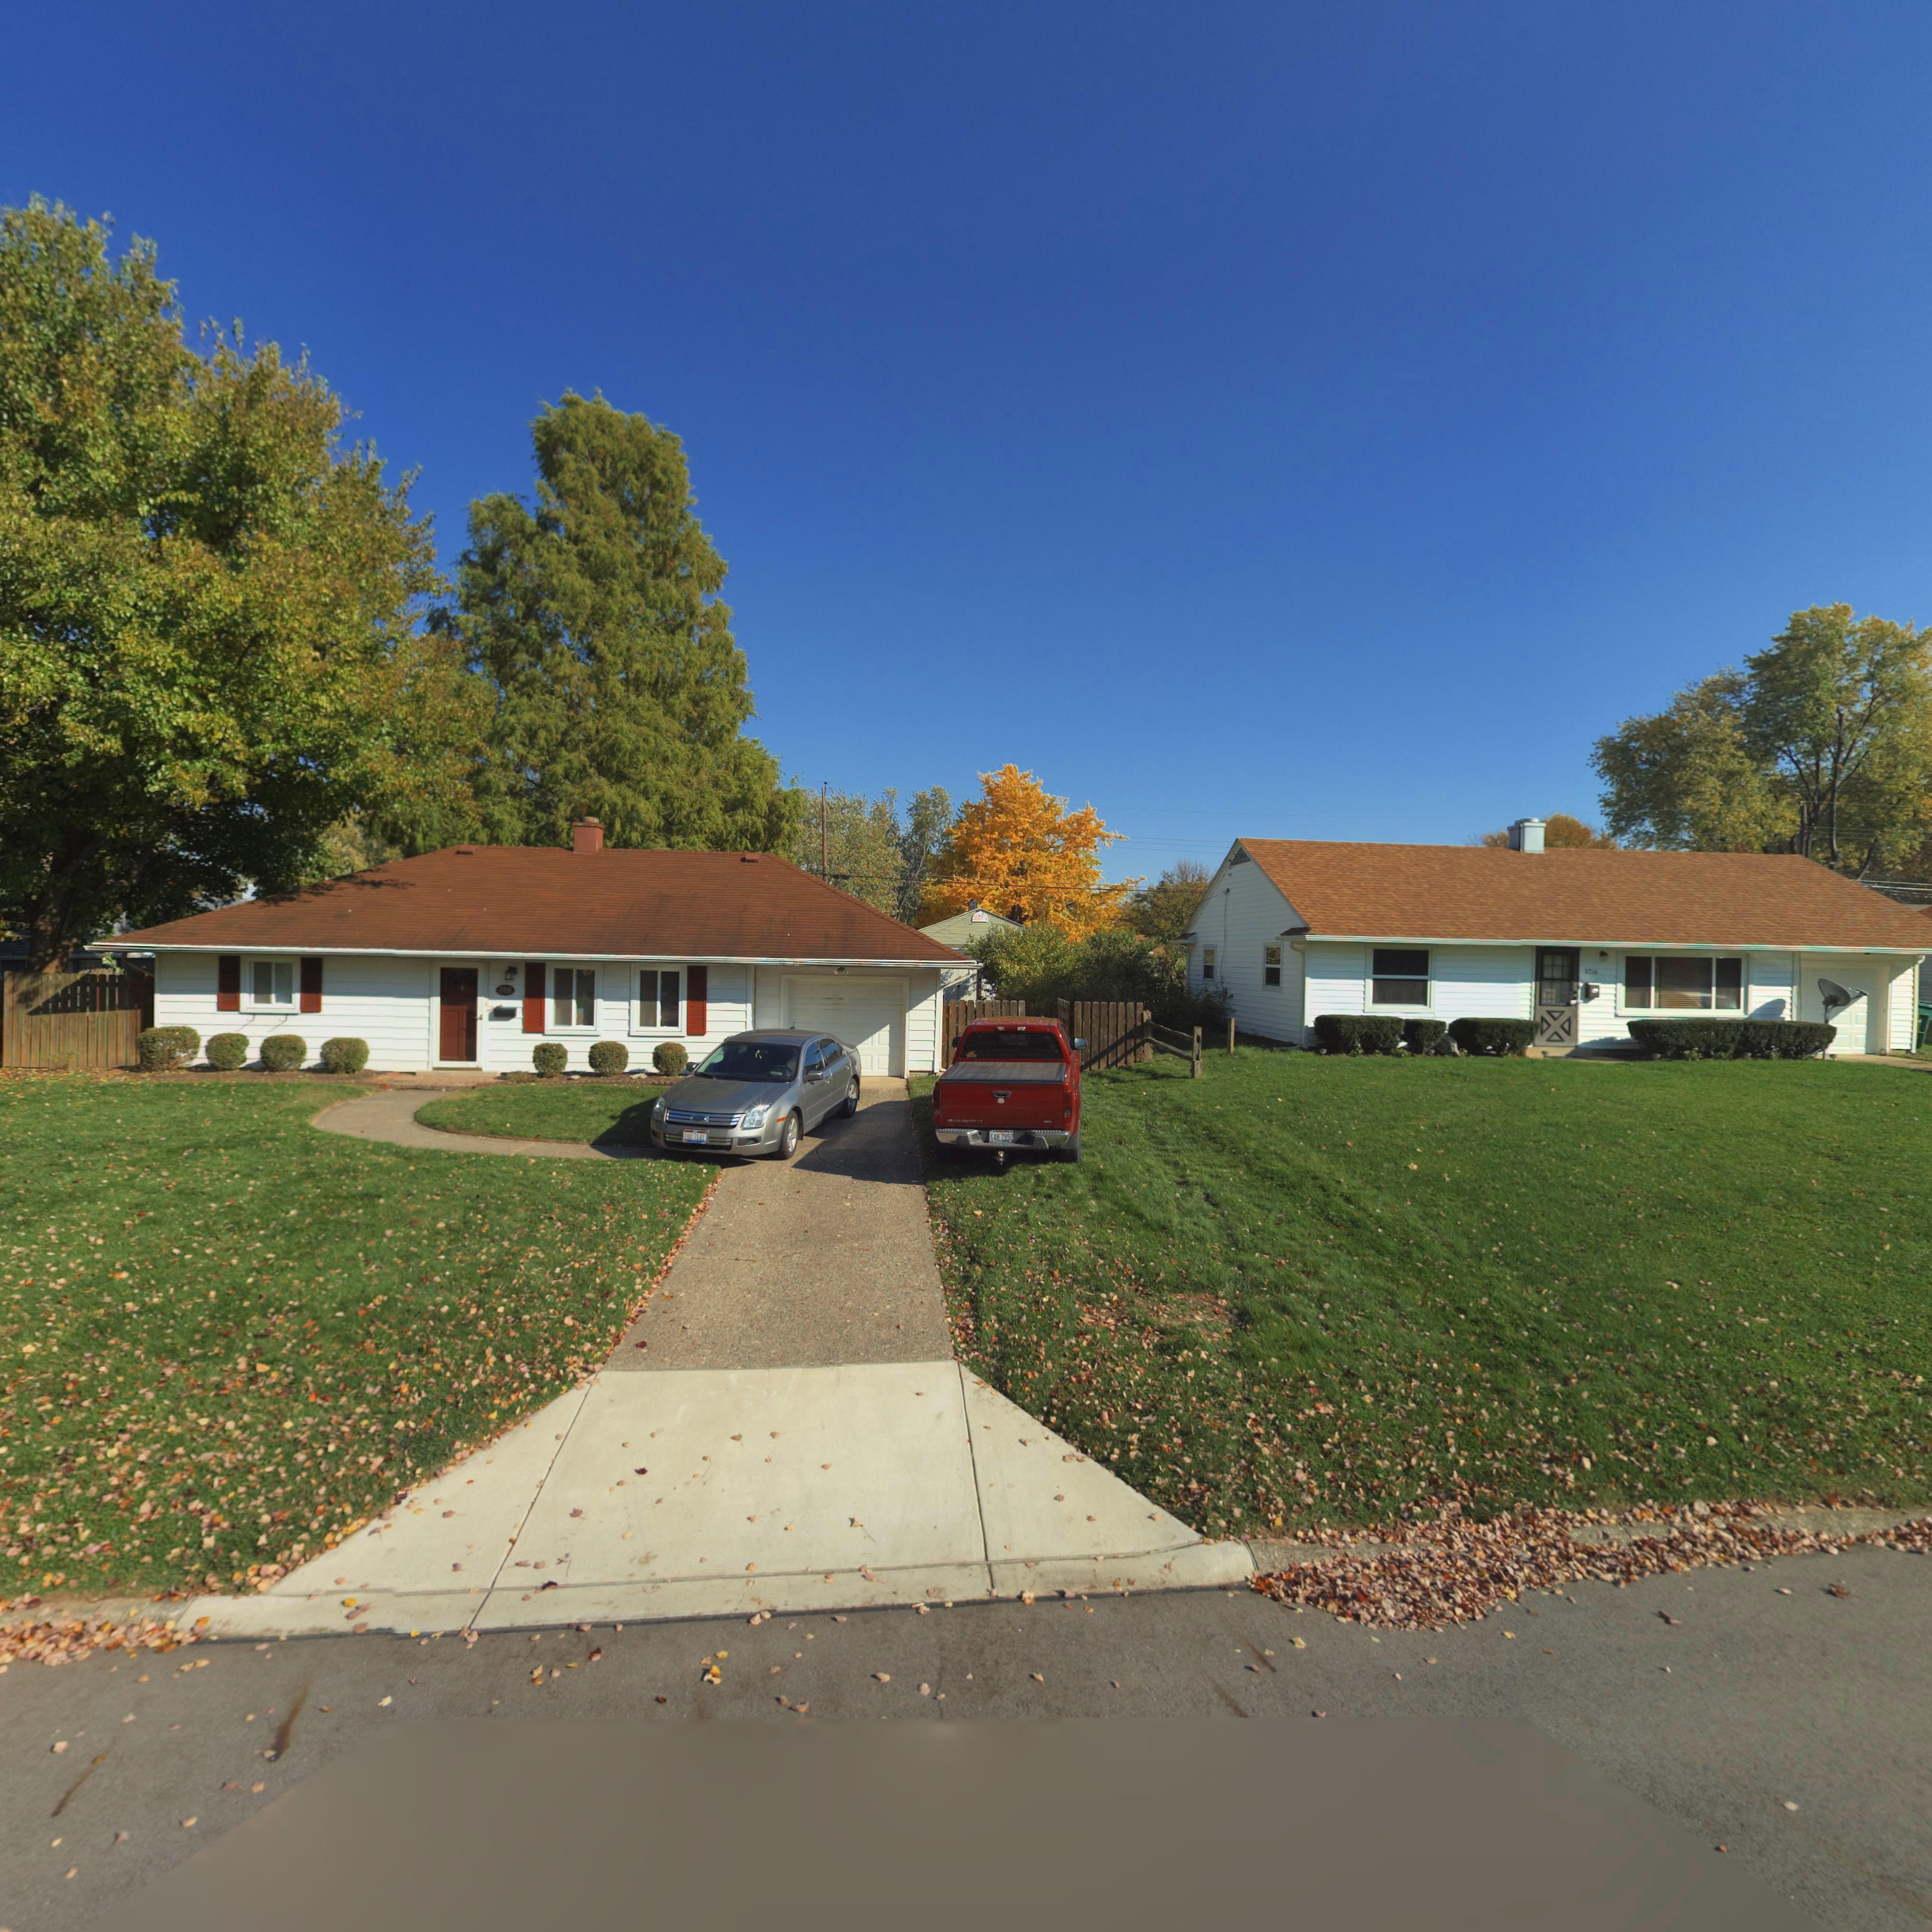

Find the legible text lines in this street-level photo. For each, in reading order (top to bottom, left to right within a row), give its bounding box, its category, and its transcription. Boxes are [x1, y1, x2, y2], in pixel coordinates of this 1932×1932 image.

[1584, 967, 1598, 975] StreetNumber: 3716
[498, 987, 512, 994] StreetNumber: 3708
[990, 1133, 1013, 1140] None: GAH 7992